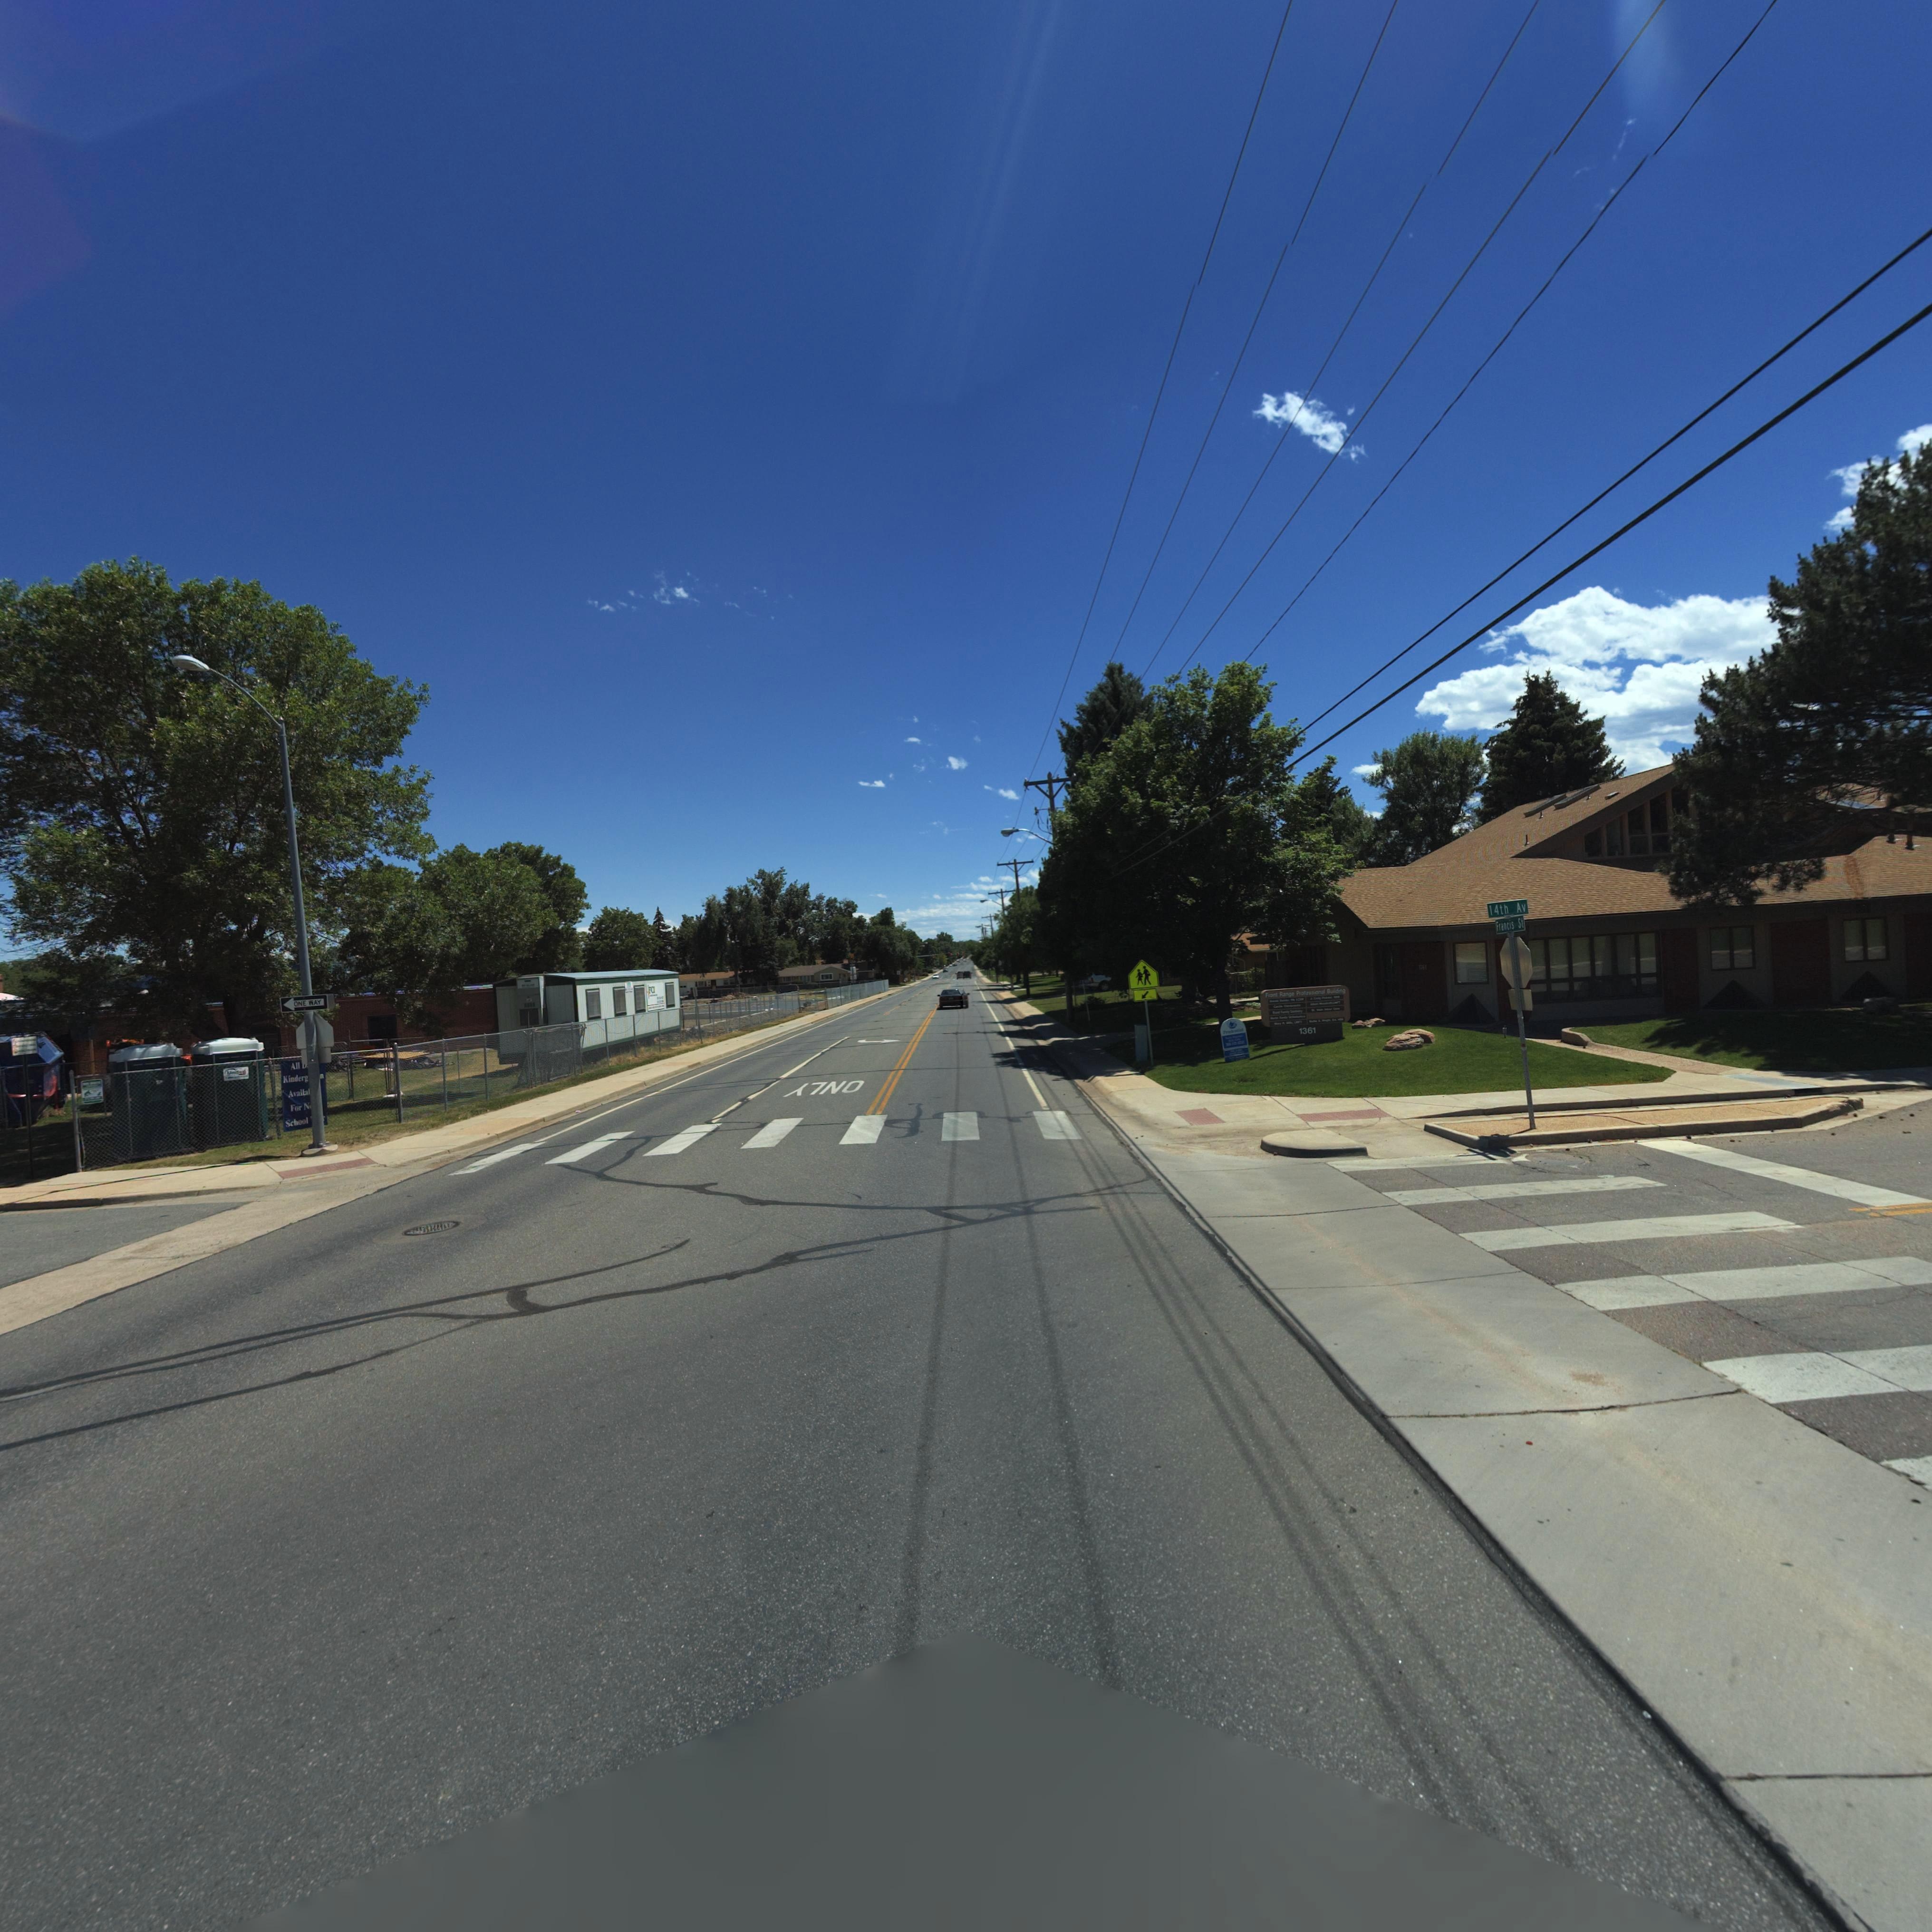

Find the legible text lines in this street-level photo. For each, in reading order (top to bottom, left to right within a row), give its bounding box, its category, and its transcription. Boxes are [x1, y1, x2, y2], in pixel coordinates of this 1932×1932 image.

[1488, 901, 1526, 917] StreetName: 14th Av
[1495, 917, 1524, 932] StreetName: Francis St
[1418, 964, 1427, 970] StreetNumber: 1**1
[1310, 997, 1313, 1000] BusinessName: J.
[1294, 1020, 1303, 1024] BusinessName: L**T
[1298, 1026, 1316, 1034] StreetNumber: 1361